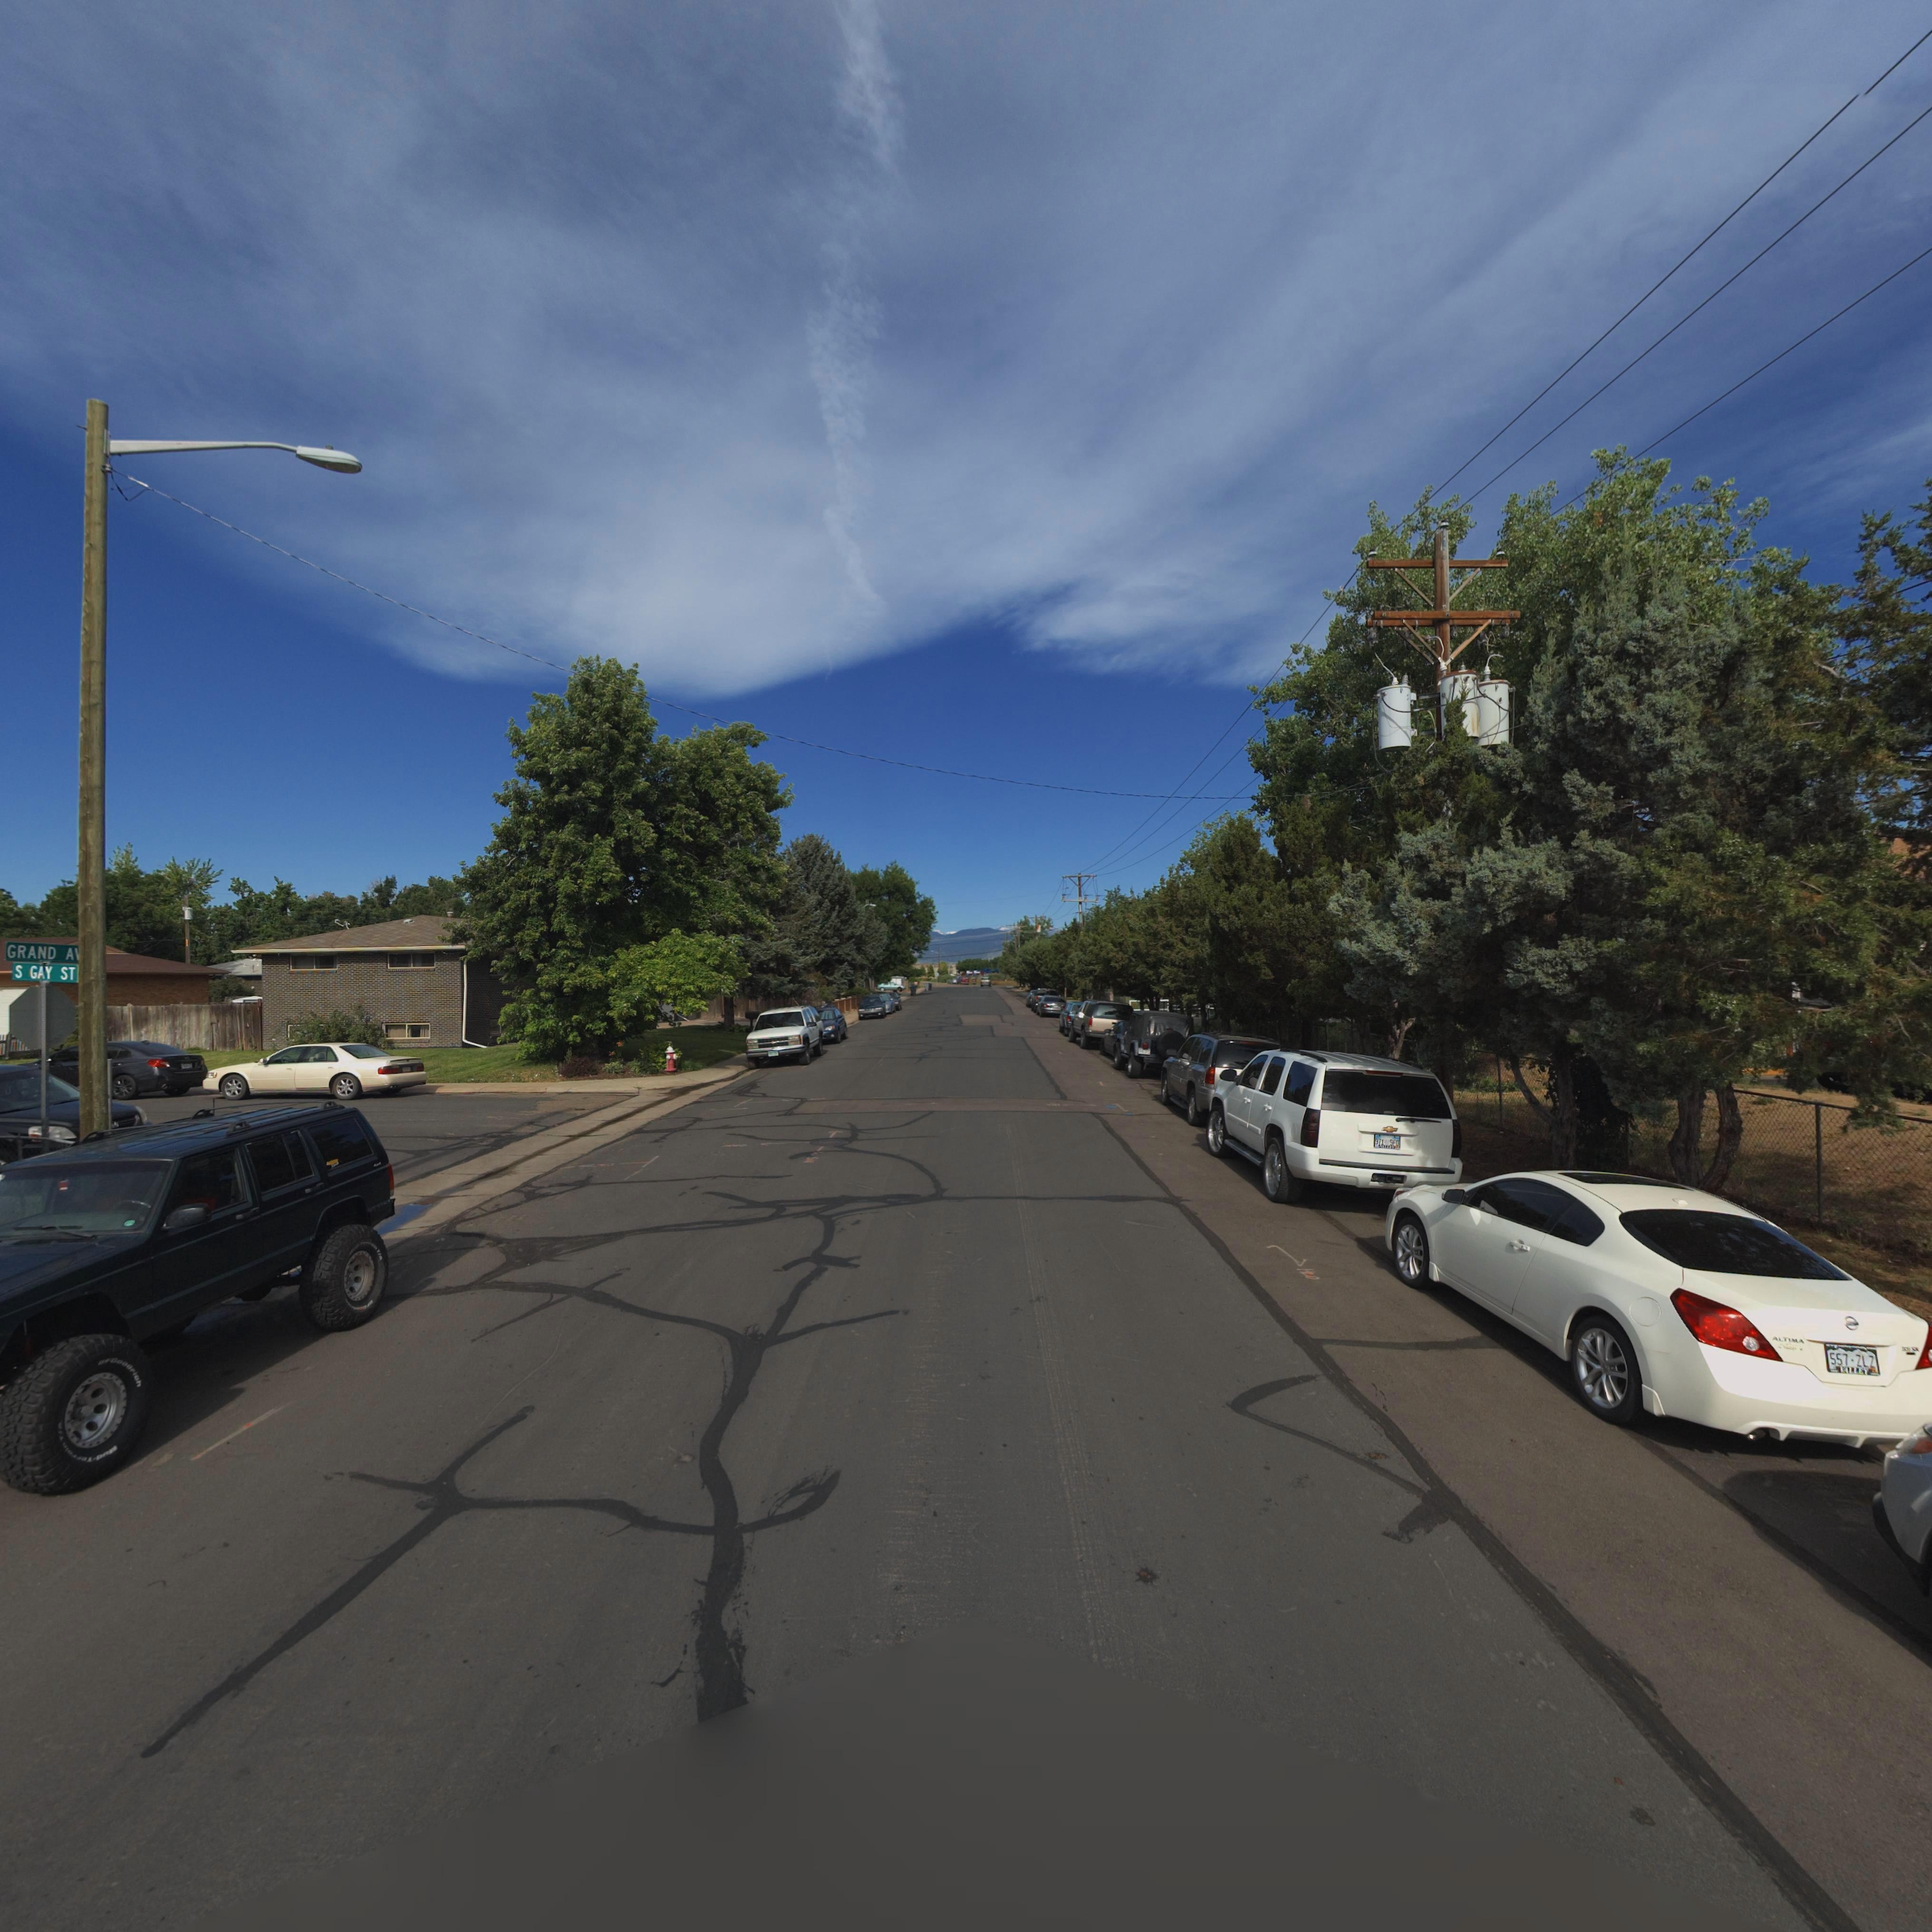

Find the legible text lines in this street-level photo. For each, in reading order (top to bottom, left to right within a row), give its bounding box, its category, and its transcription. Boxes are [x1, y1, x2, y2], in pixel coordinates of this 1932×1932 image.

[6, 943, 82, 962] StreetName: GRAND A*
[14, 964, 76, 981] StreetName: S GAY ST